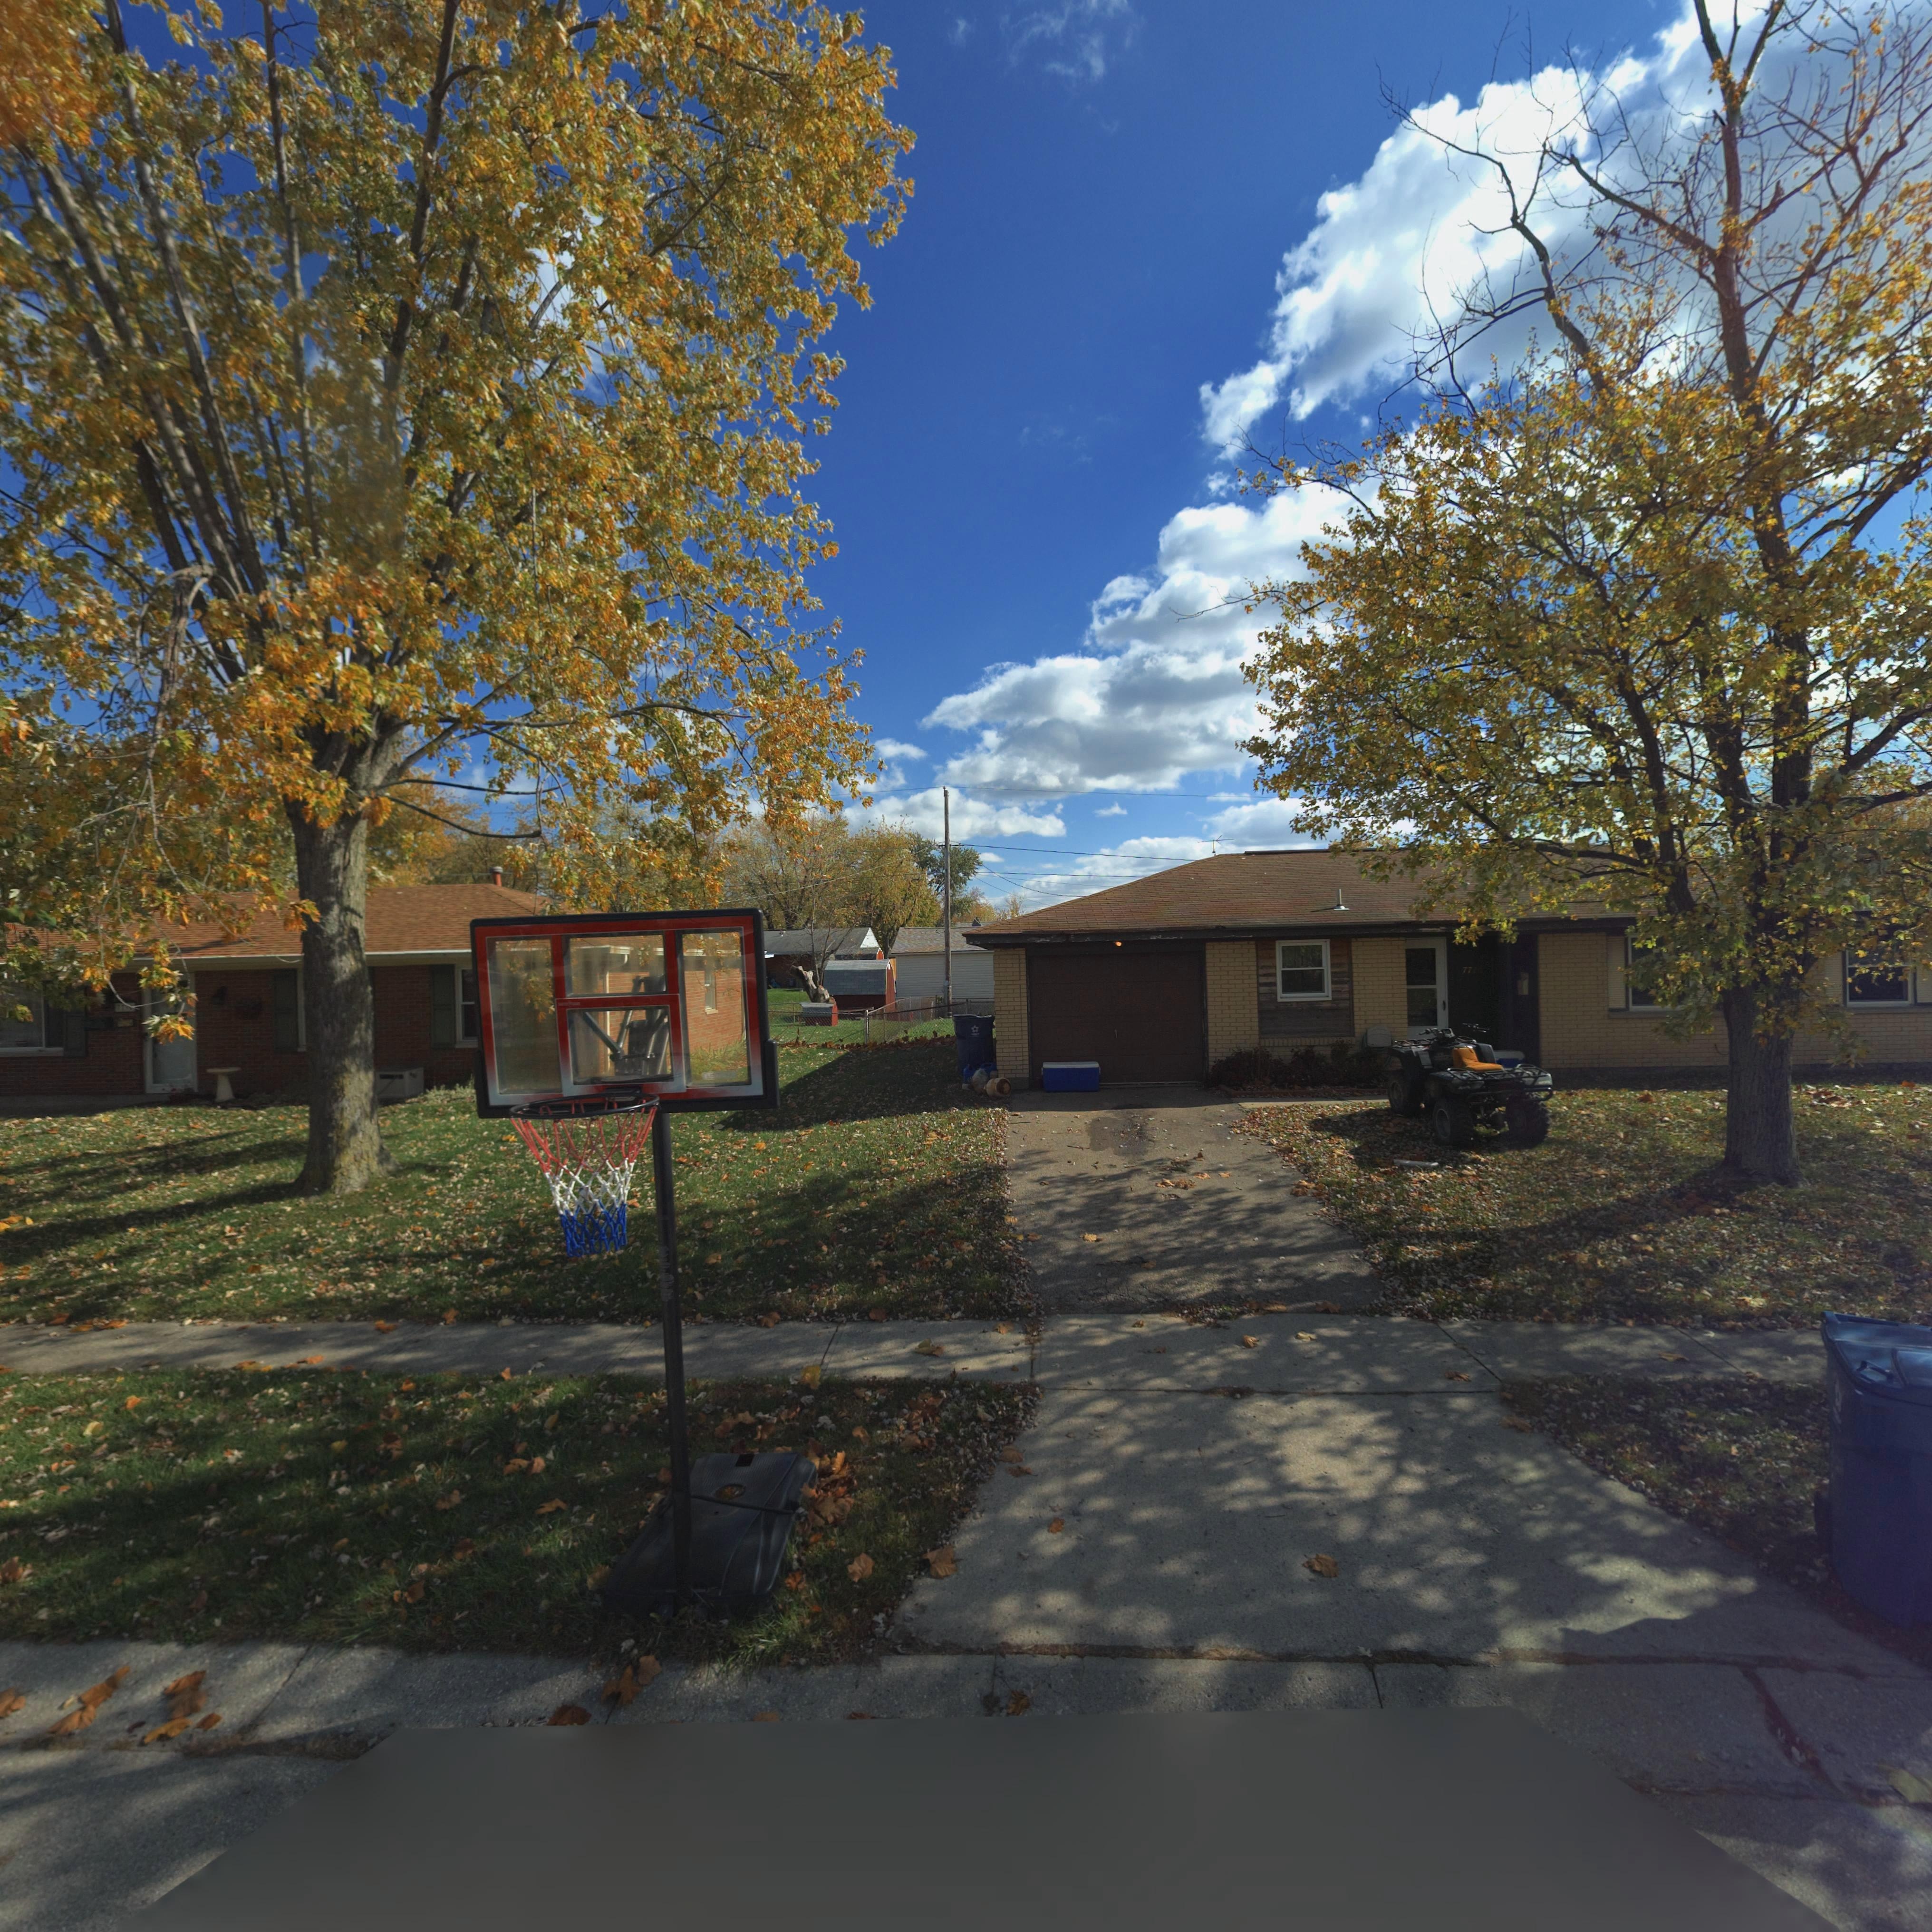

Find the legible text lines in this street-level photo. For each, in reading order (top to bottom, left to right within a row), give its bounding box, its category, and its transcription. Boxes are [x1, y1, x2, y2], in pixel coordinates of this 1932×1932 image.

[1462, 966, 1485, 974] StreetNumber: 7720
[116, 1004, 125, 1011] StreetNumber: 77